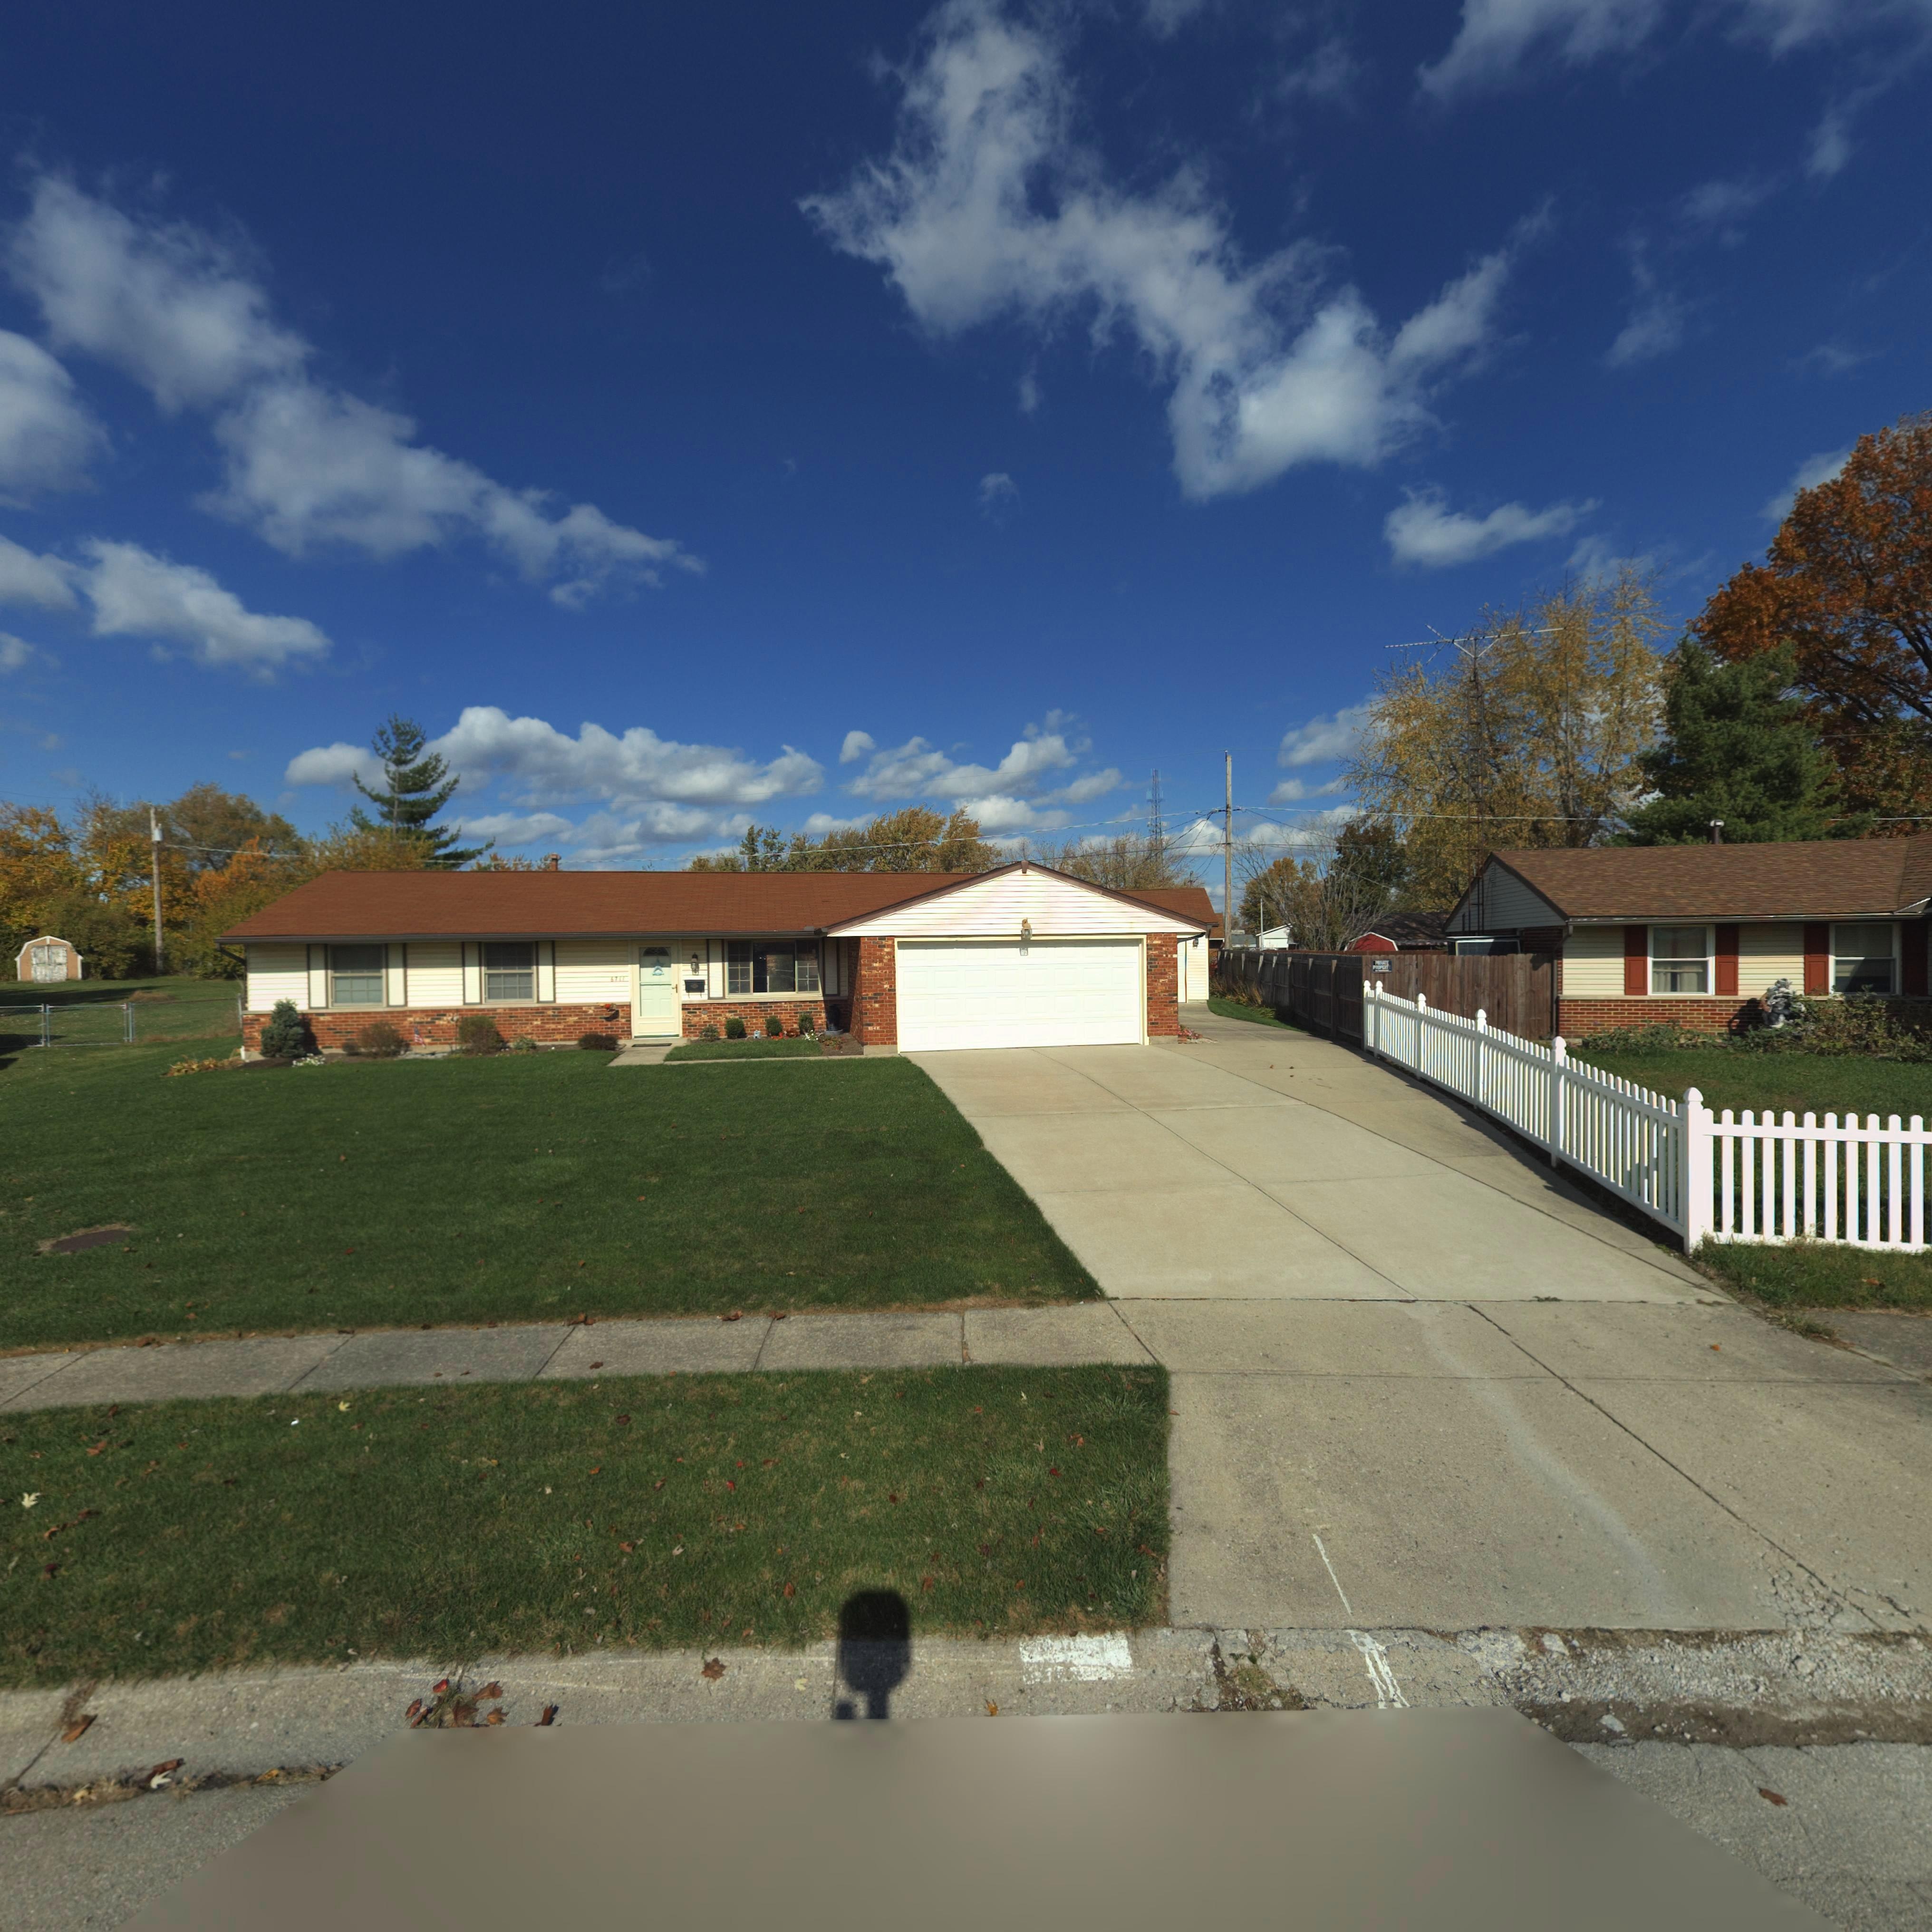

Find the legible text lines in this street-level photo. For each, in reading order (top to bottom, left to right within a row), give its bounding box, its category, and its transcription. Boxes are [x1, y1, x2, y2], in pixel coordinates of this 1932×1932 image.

[610, 976, 626, 982] StreetNumber: 6711